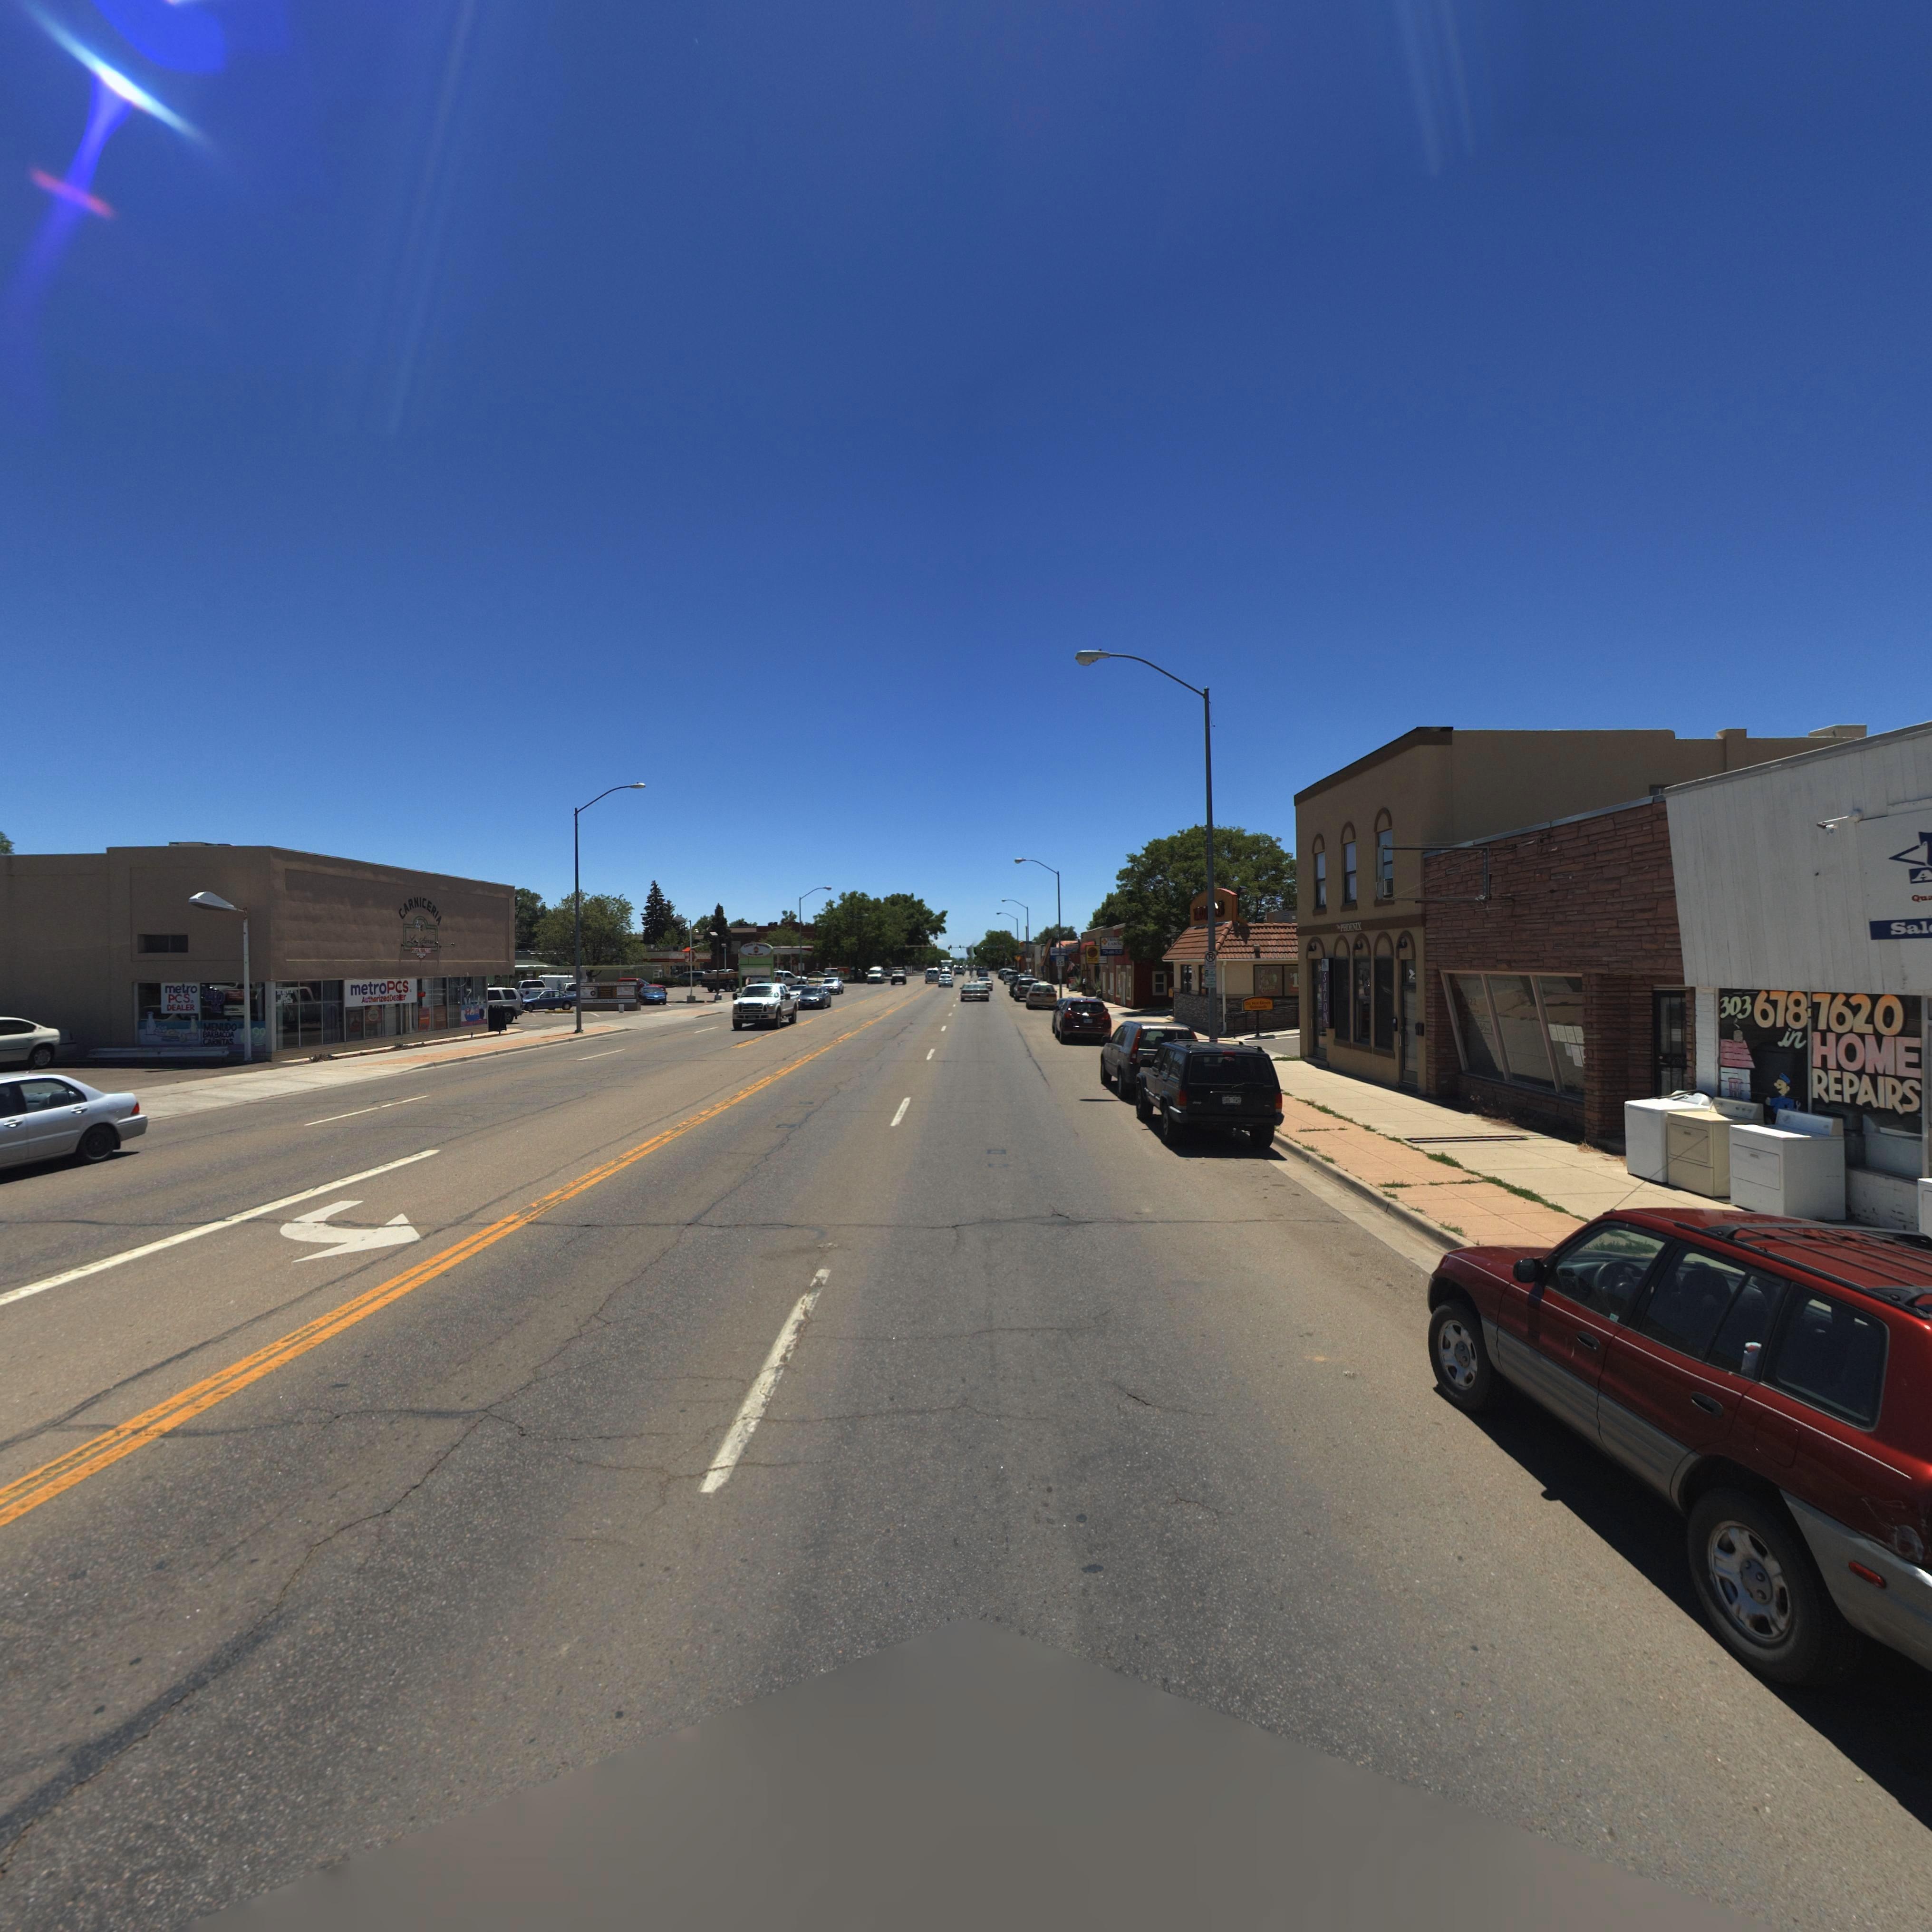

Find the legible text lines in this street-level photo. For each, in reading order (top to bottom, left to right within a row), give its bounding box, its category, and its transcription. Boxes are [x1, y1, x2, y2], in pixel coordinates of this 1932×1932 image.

[1192, 901, 1224, 920] BusinessName: TACO J***S
[1335, 922, 1362, 932] BusinessName: THE PHOENIX
[406, 933, 435, 946] BusinessName: La S*****
[1106, 937, 1119, 941] BusinessName: TR***
[1107, 942, 1121, 946] BusinessName: LAB***
[1322, 971, 1328, 1024] BusinessName: SALON